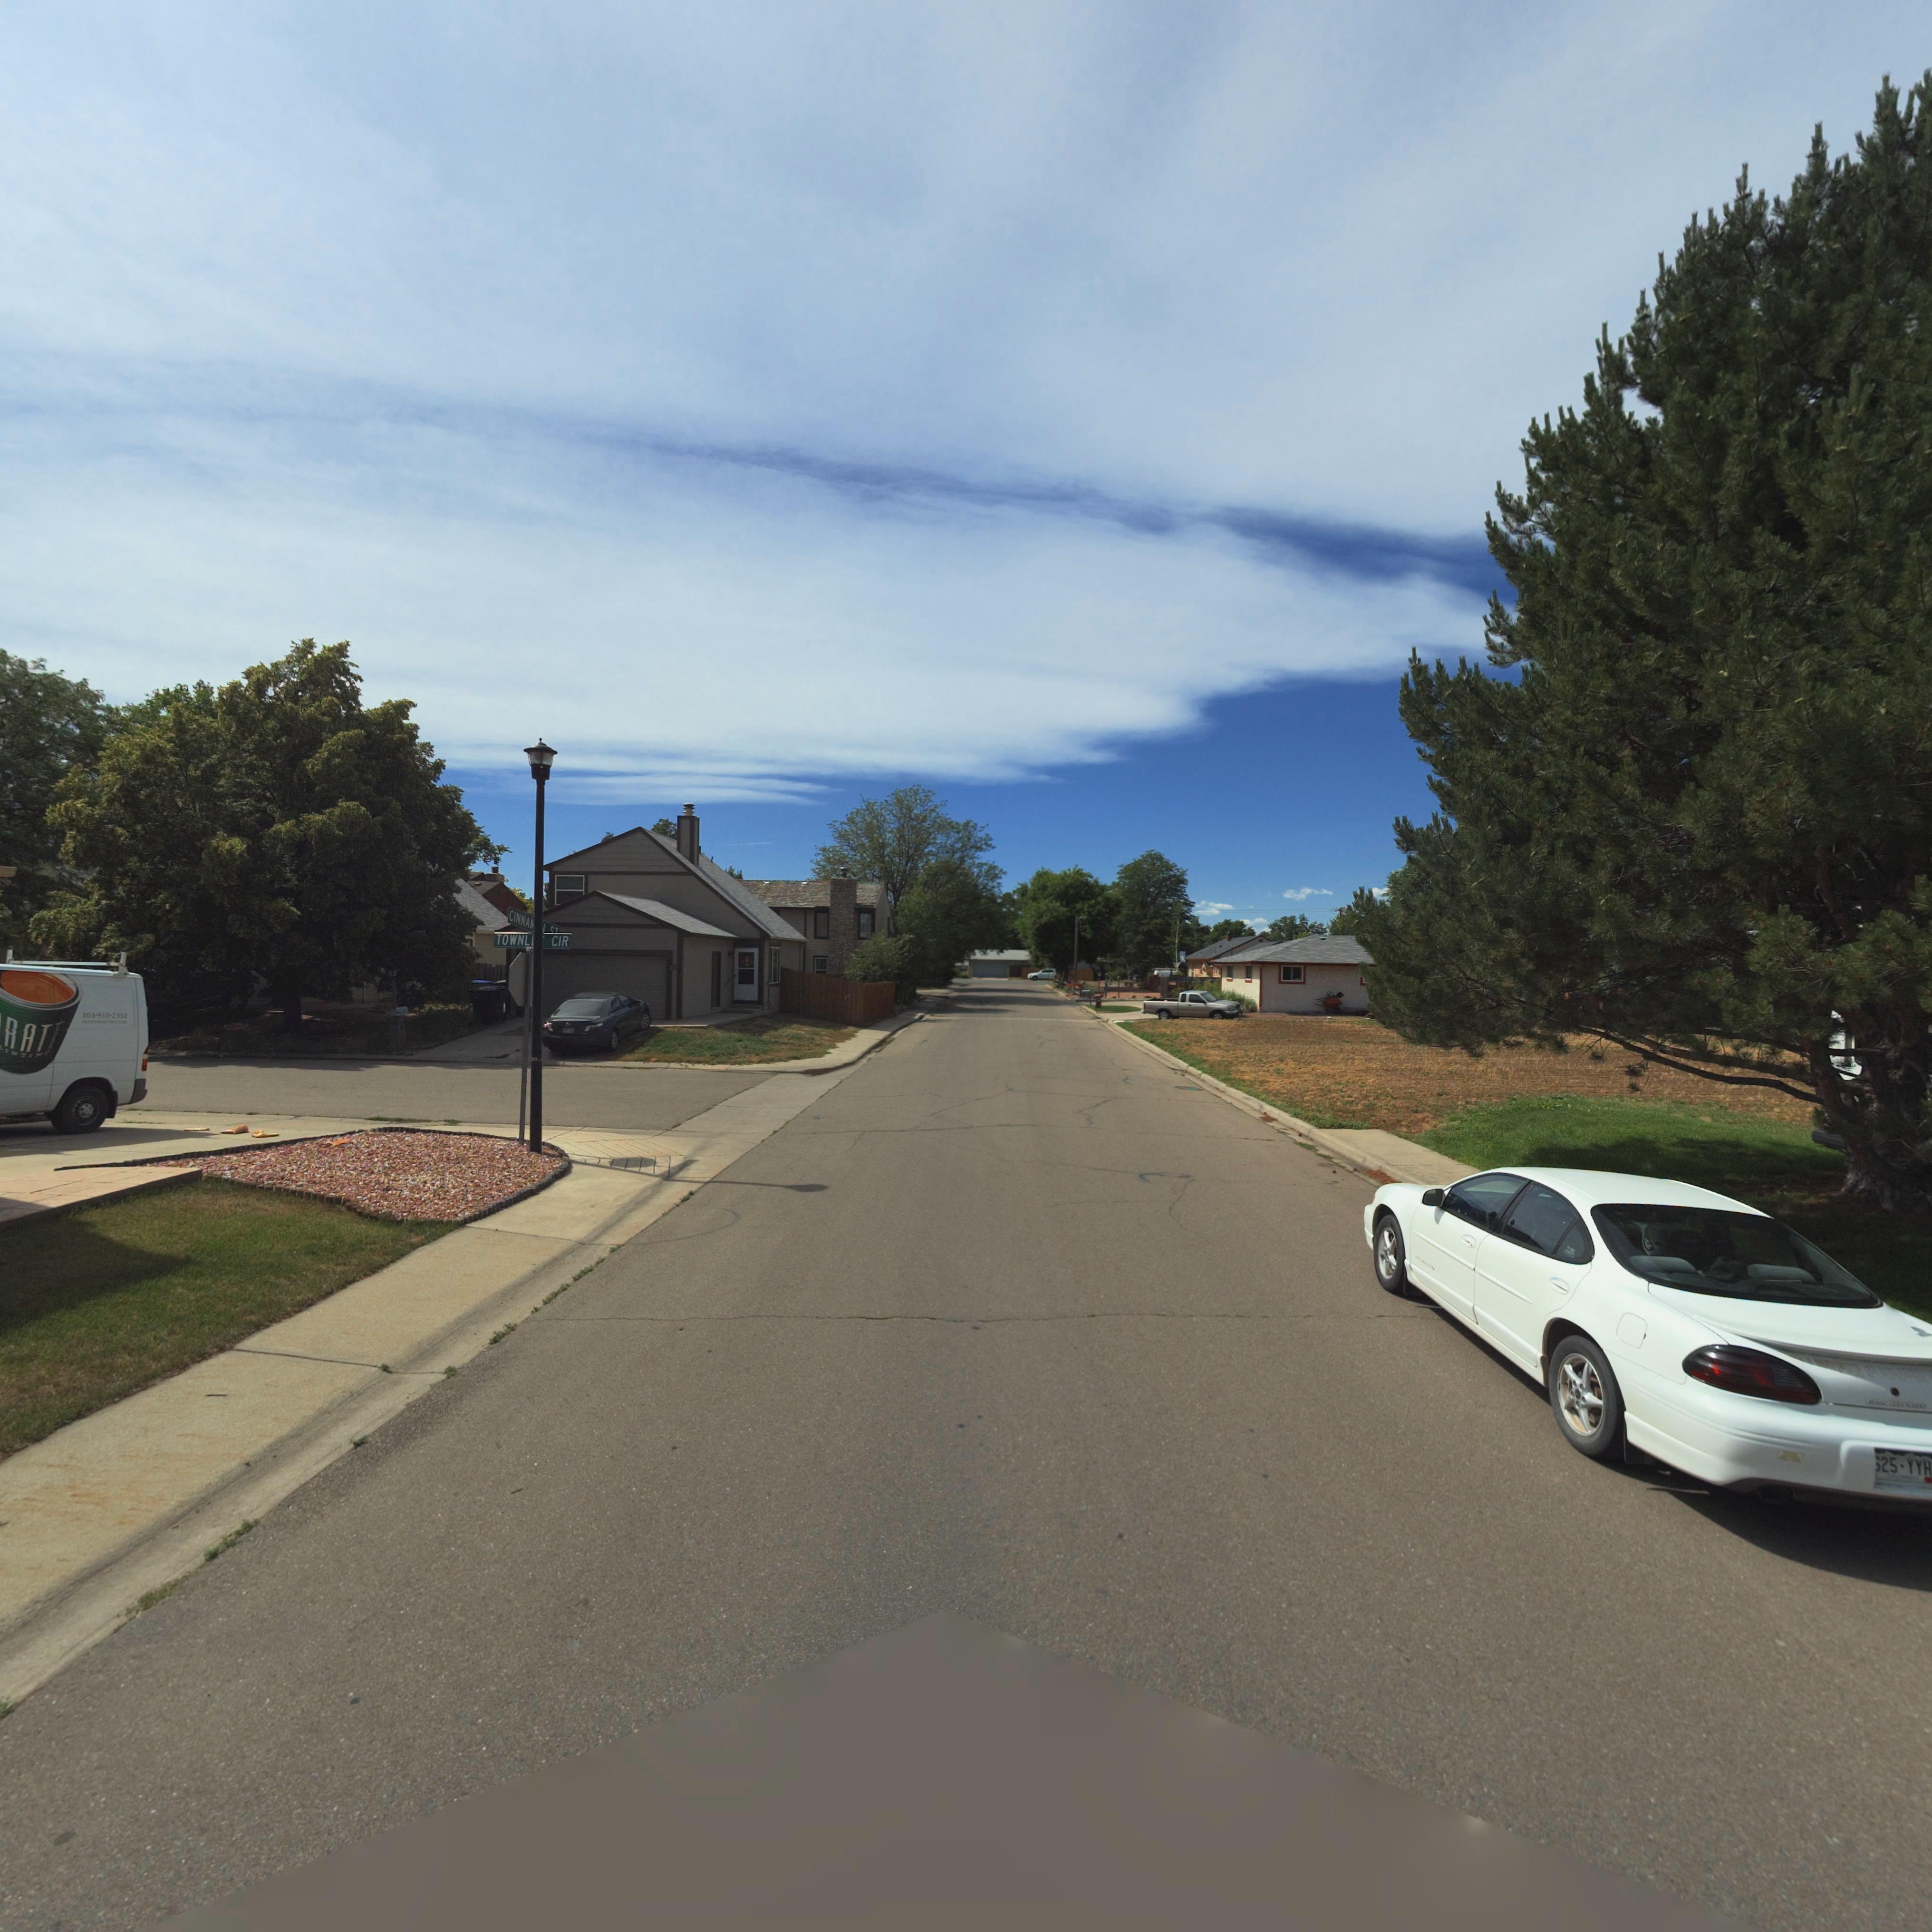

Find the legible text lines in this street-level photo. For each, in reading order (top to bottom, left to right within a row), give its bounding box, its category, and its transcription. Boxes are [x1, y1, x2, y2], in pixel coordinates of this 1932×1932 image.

[509, 909, 559, 935] StreetName: CINNA*** **
[496, 934, 569, 947] StreetName: TOWNL** CIR